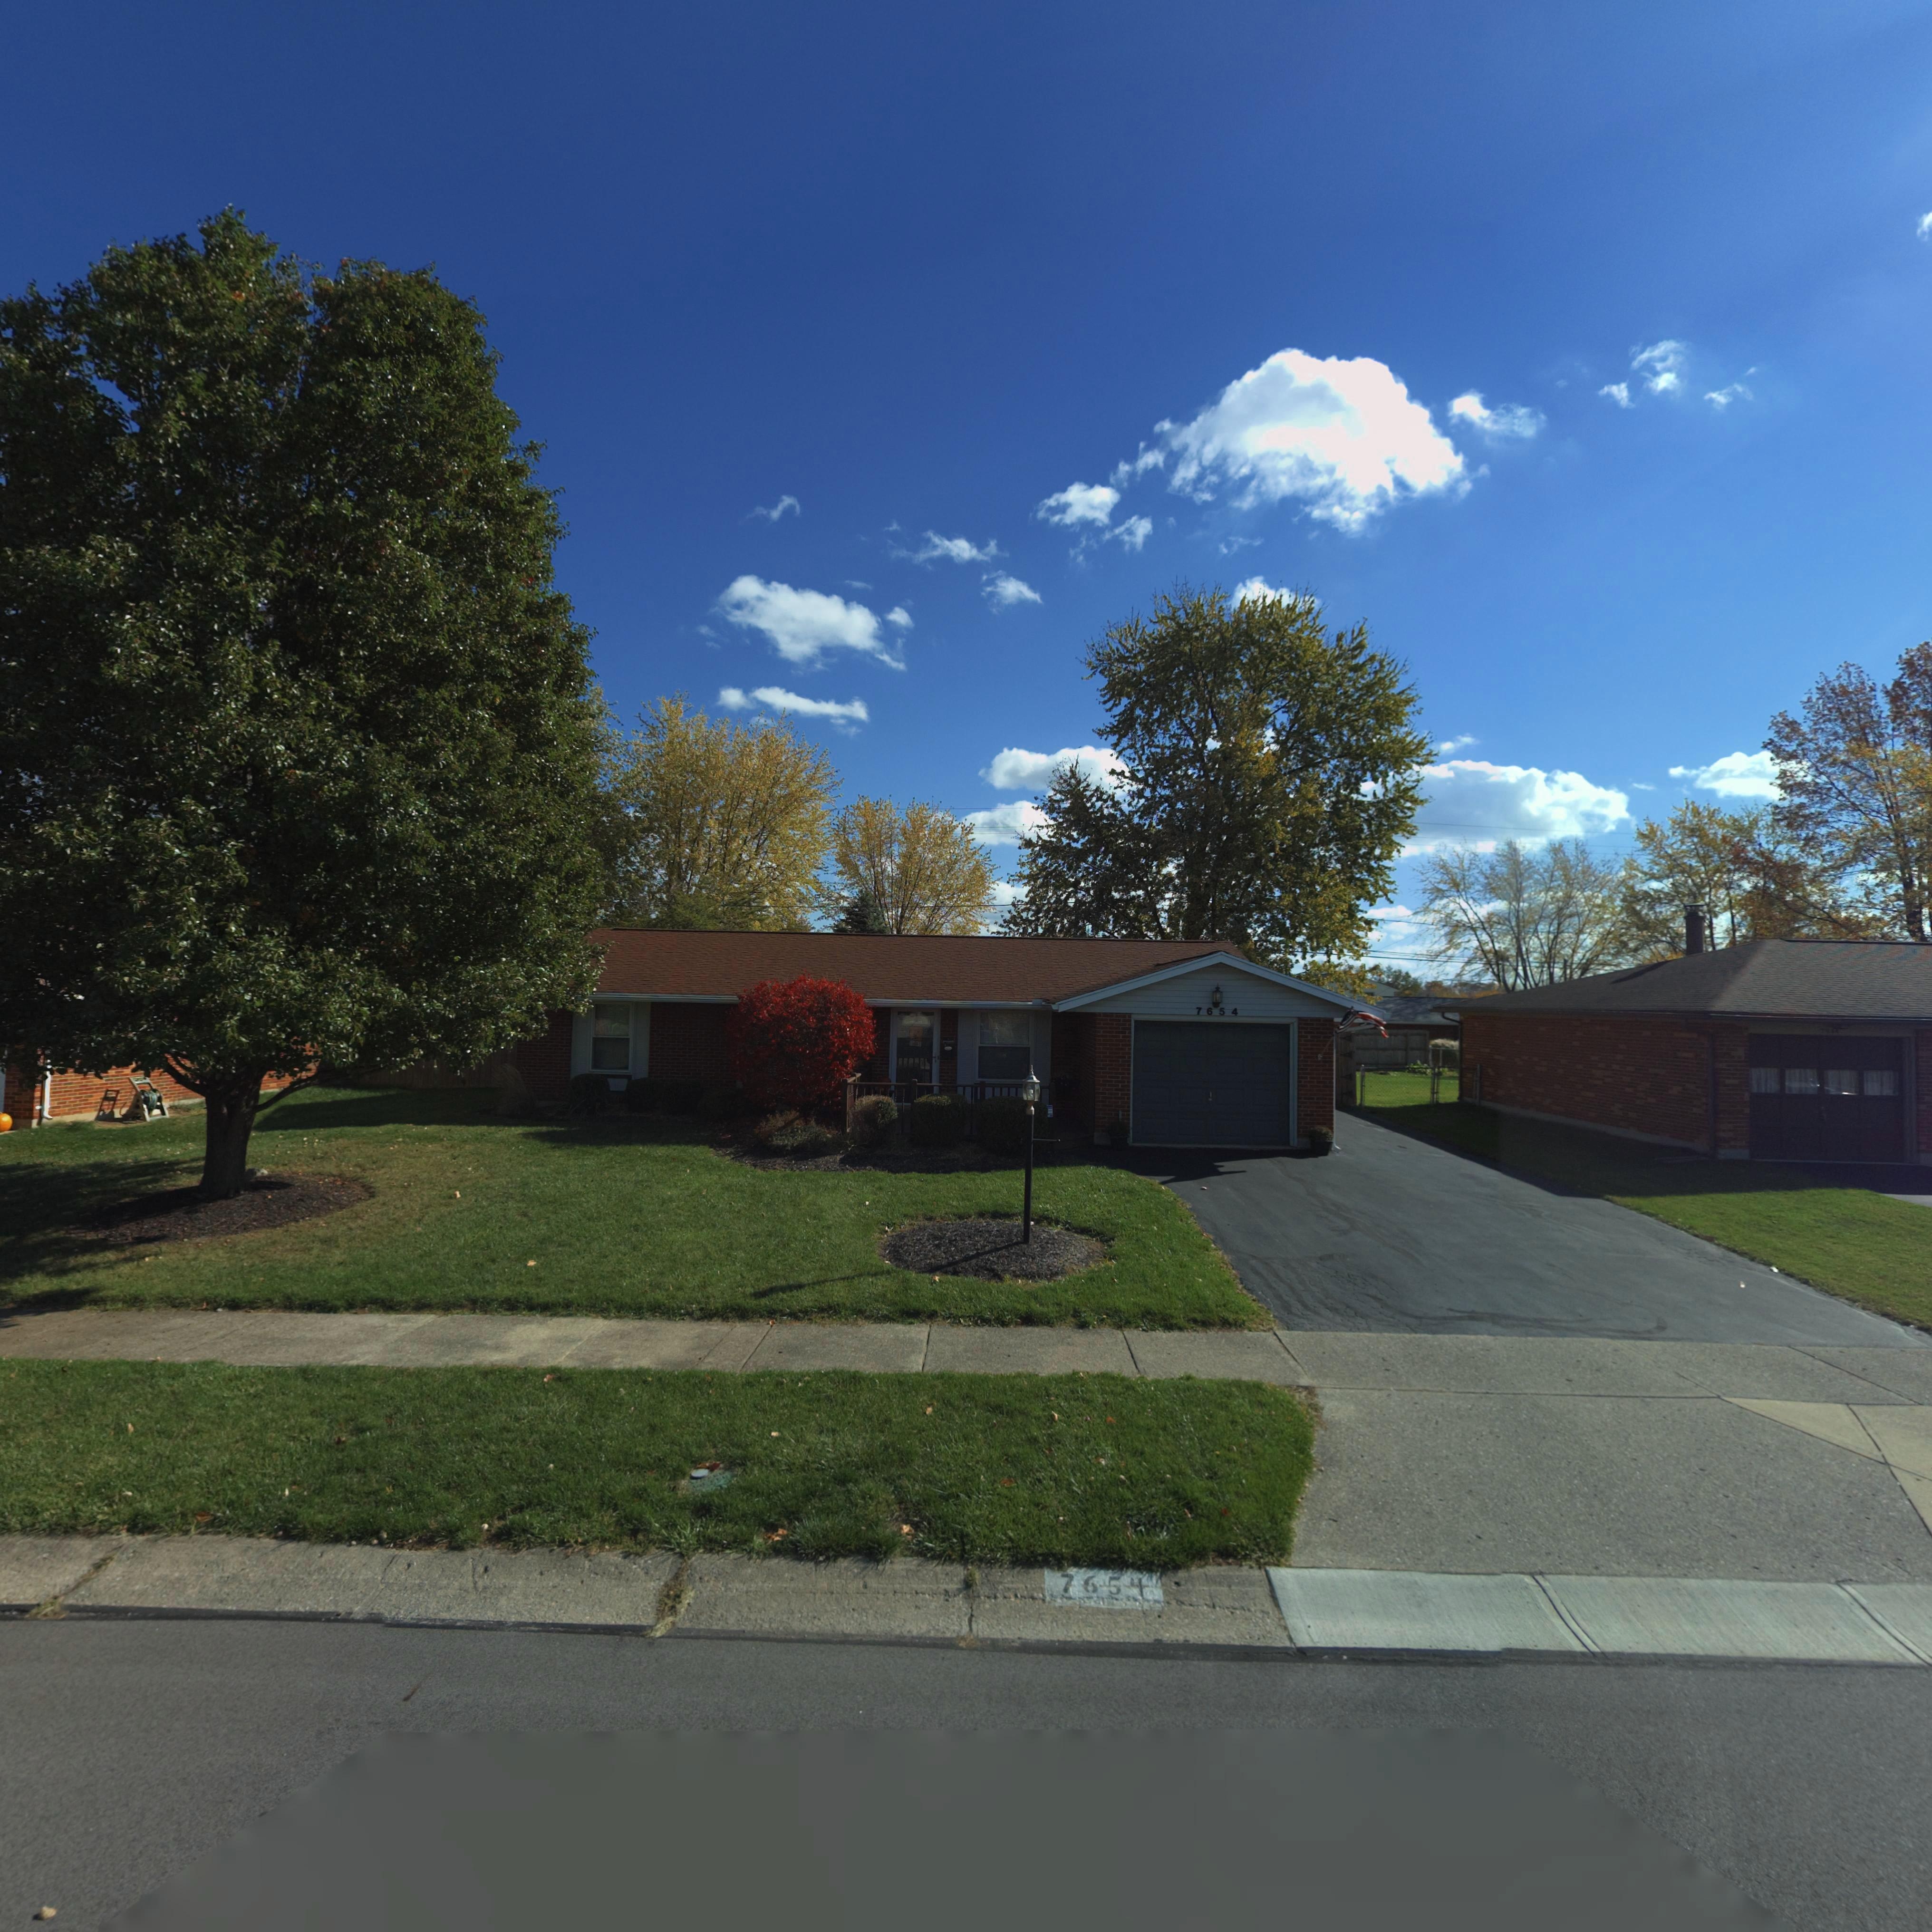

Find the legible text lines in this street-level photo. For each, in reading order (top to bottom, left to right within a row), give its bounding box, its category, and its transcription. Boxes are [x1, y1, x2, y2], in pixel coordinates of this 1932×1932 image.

[1195, 1006, 1239, 1017] StreetNumber: 7654
[1058, 1572, 1147, 1600] StreetNumber: 7654